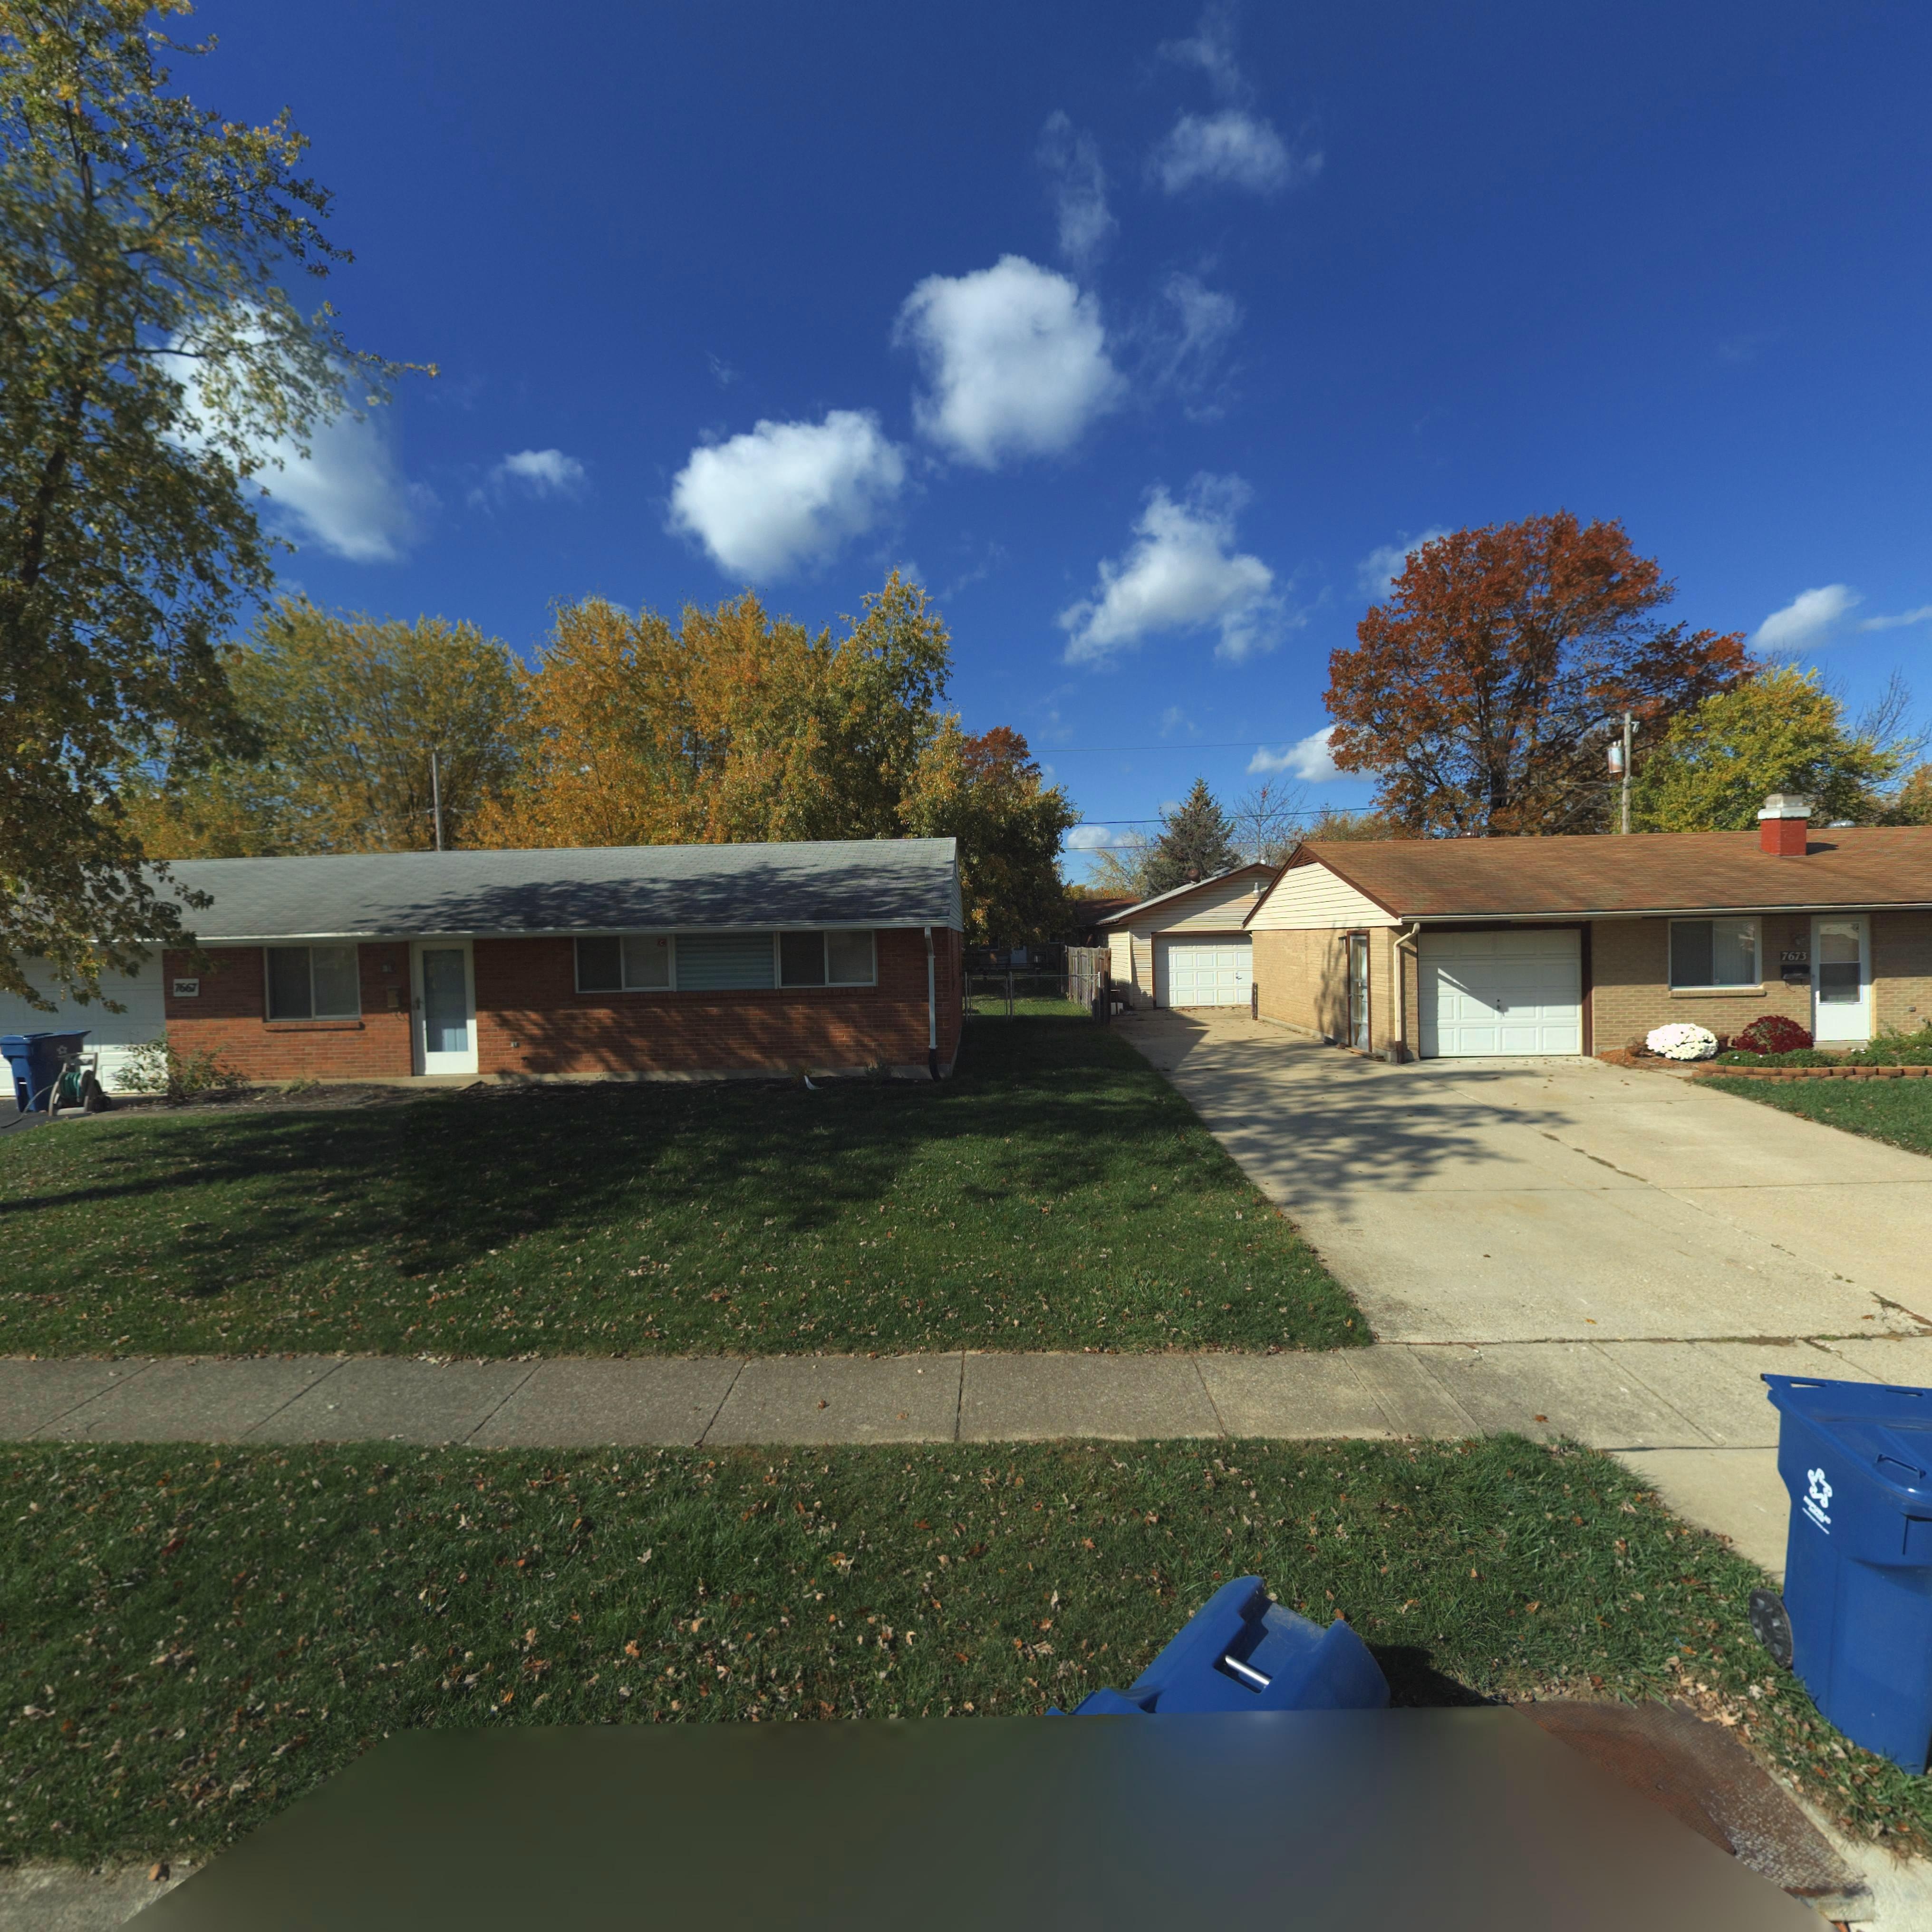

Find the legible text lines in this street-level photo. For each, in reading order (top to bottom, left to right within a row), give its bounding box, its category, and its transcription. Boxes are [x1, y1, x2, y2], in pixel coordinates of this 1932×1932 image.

[1780, 951, 1808, 961] StreetNumber: 7673
[173, 982, 198, 994] StreetNumber: 7667